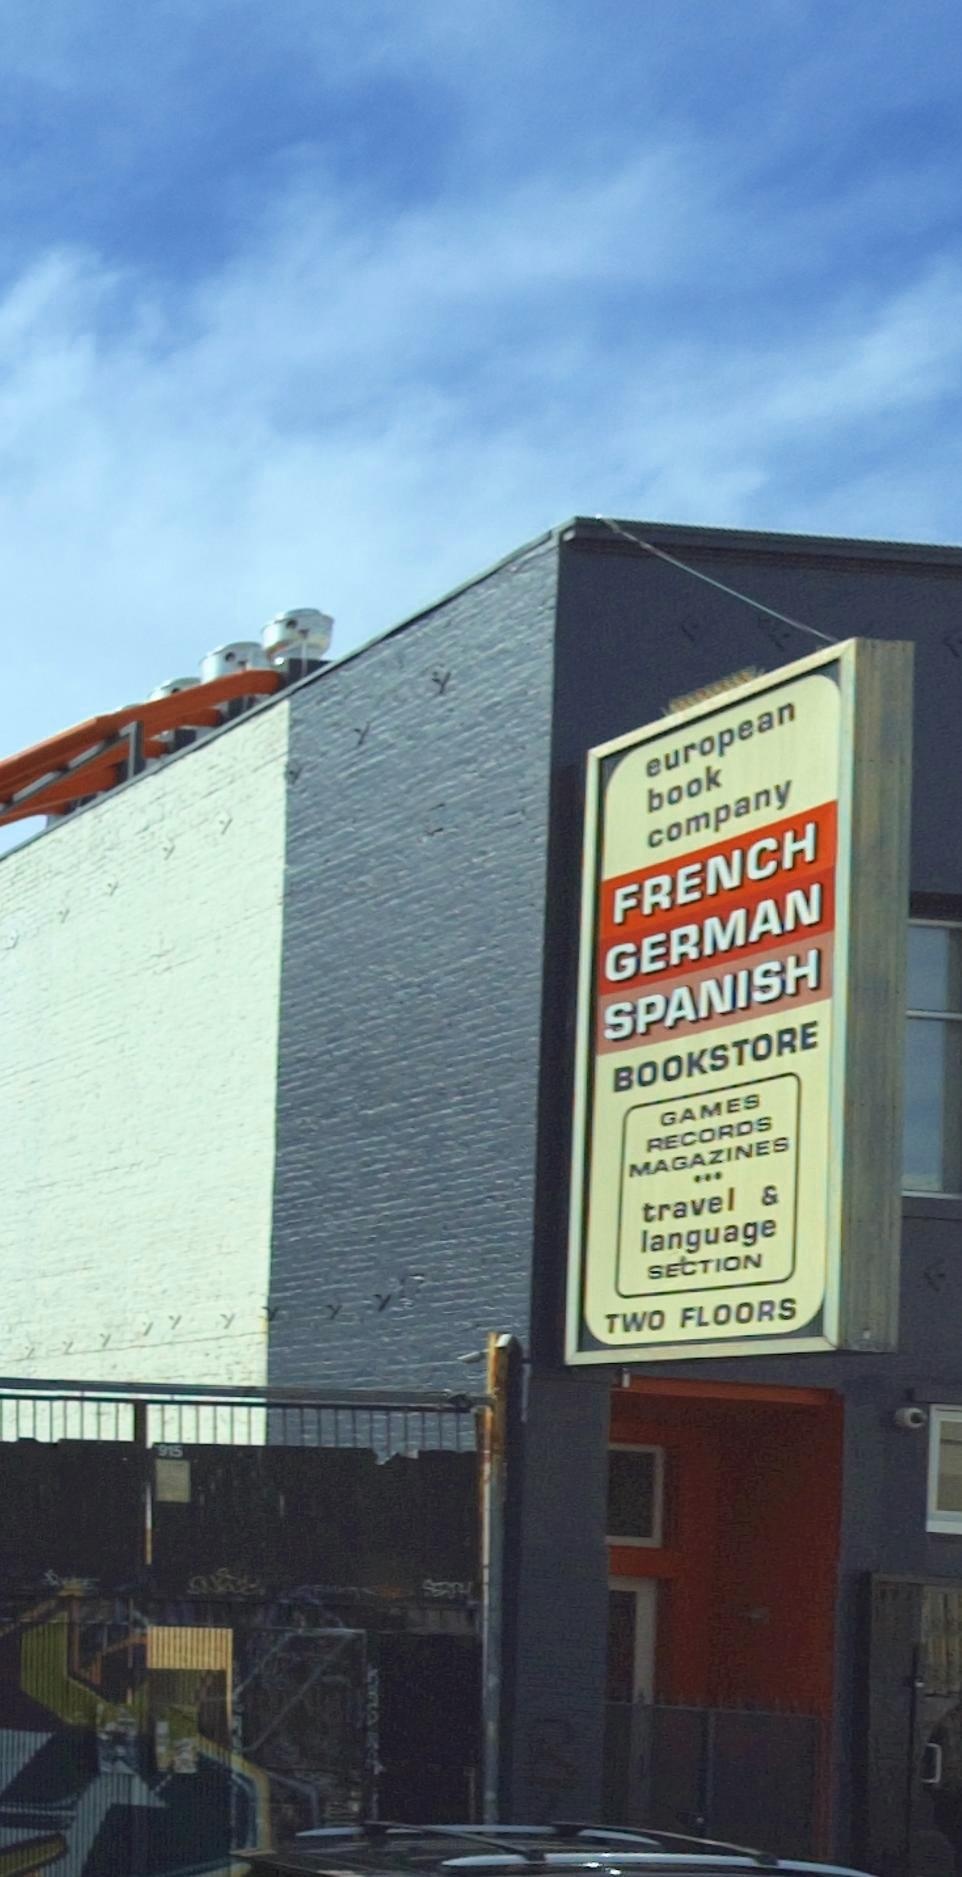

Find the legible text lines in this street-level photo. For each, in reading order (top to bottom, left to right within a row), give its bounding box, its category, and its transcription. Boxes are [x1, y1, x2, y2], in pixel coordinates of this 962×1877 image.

[641, 696, 801, 783] BusinessName: european
[644, 761, 728, 819] BusinessName: book
[643, 774, 795, 852] BusinessName: company
[611, 816, 821, 930] None: FRENCH
[603, 879, 823, 985] None: GERMAN
[602, 945, 821, 1043] None: SPANISH
[610, 1017, 821, 1098] None: BOOKSTORE
[644, 1113, 775, 1157] None: RECORDS
[657, 1090, 763, 1130] None: GAMES
[627, 1133, 793, 1182] None: MAGAZINES
[638, 1181, 738, 1227] None: travel
[638, 1215, 781, 1259] None: language
[644, 1249, 766, 1284] None: SECTION
[600, 1294, 800, 1338] None: TWO FLOORS
[155, 1441, 187, 1460] StreetNumber: 915
[519, 1708, 588, 1796] None: B